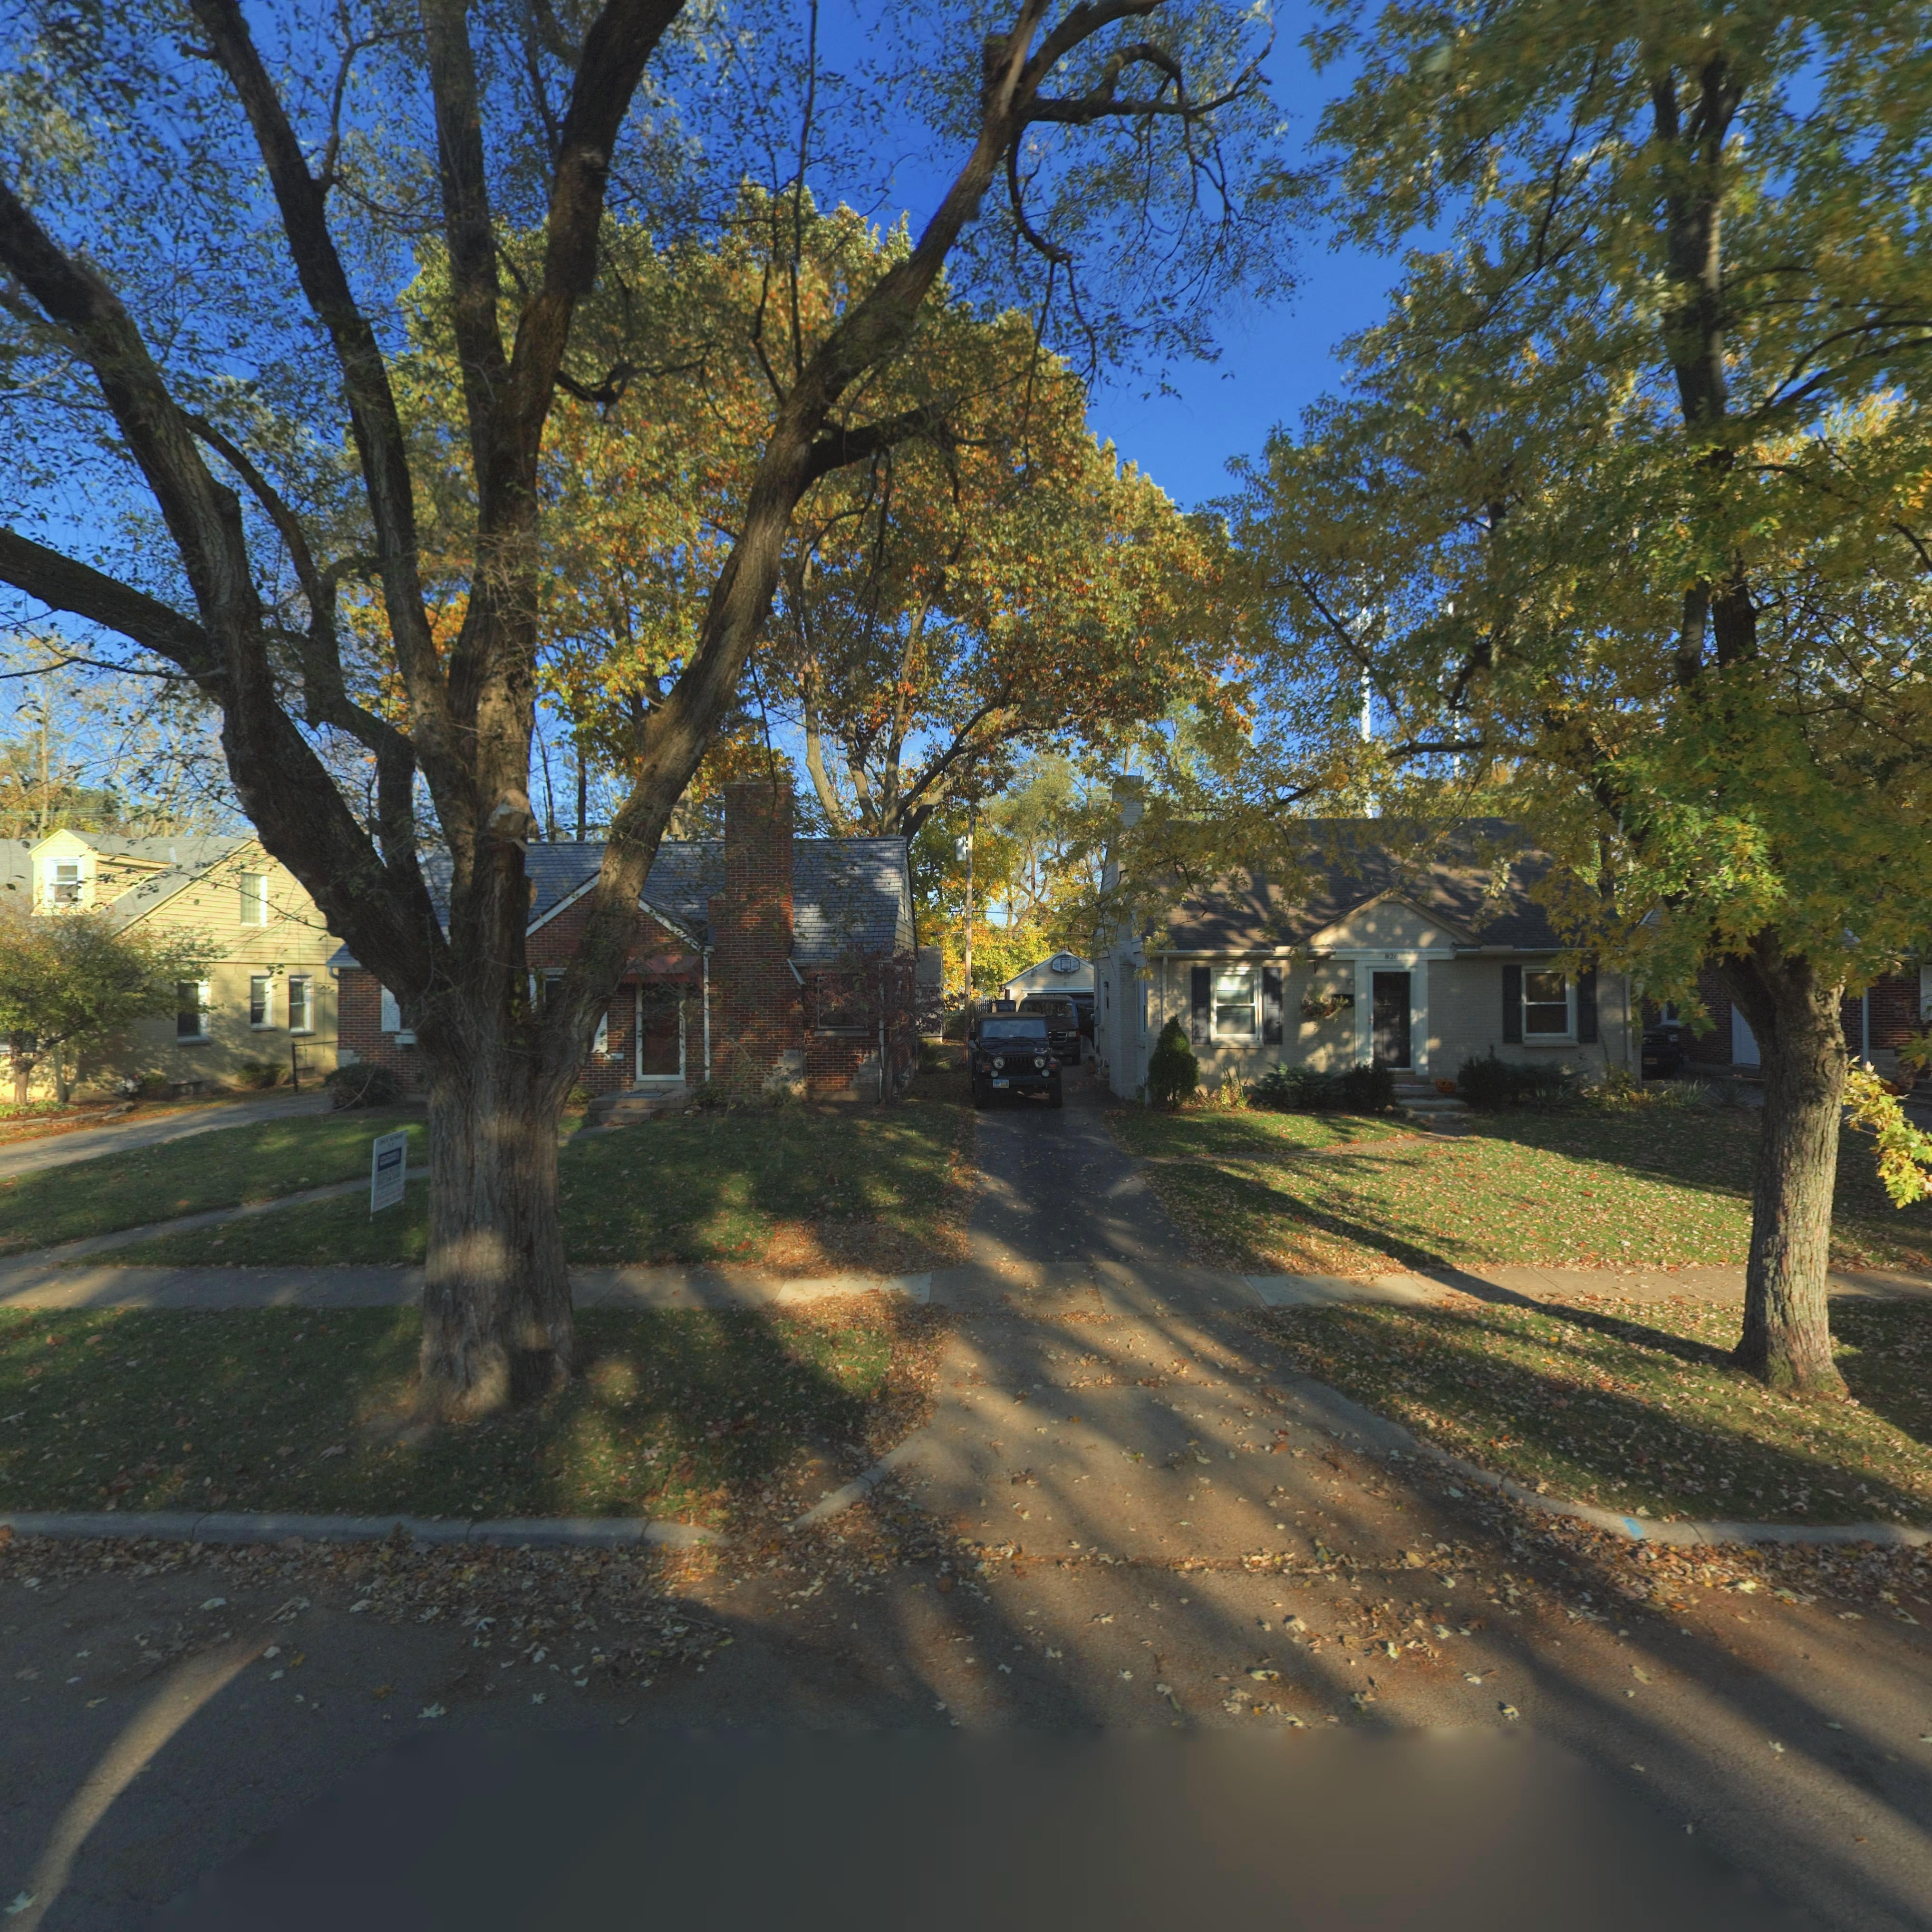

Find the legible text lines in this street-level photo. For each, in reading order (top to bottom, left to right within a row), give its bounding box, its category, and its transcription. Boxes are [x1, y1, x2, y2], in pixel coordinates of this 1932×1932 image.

[1384, 952, 1399, 960] StreetNumber: 826